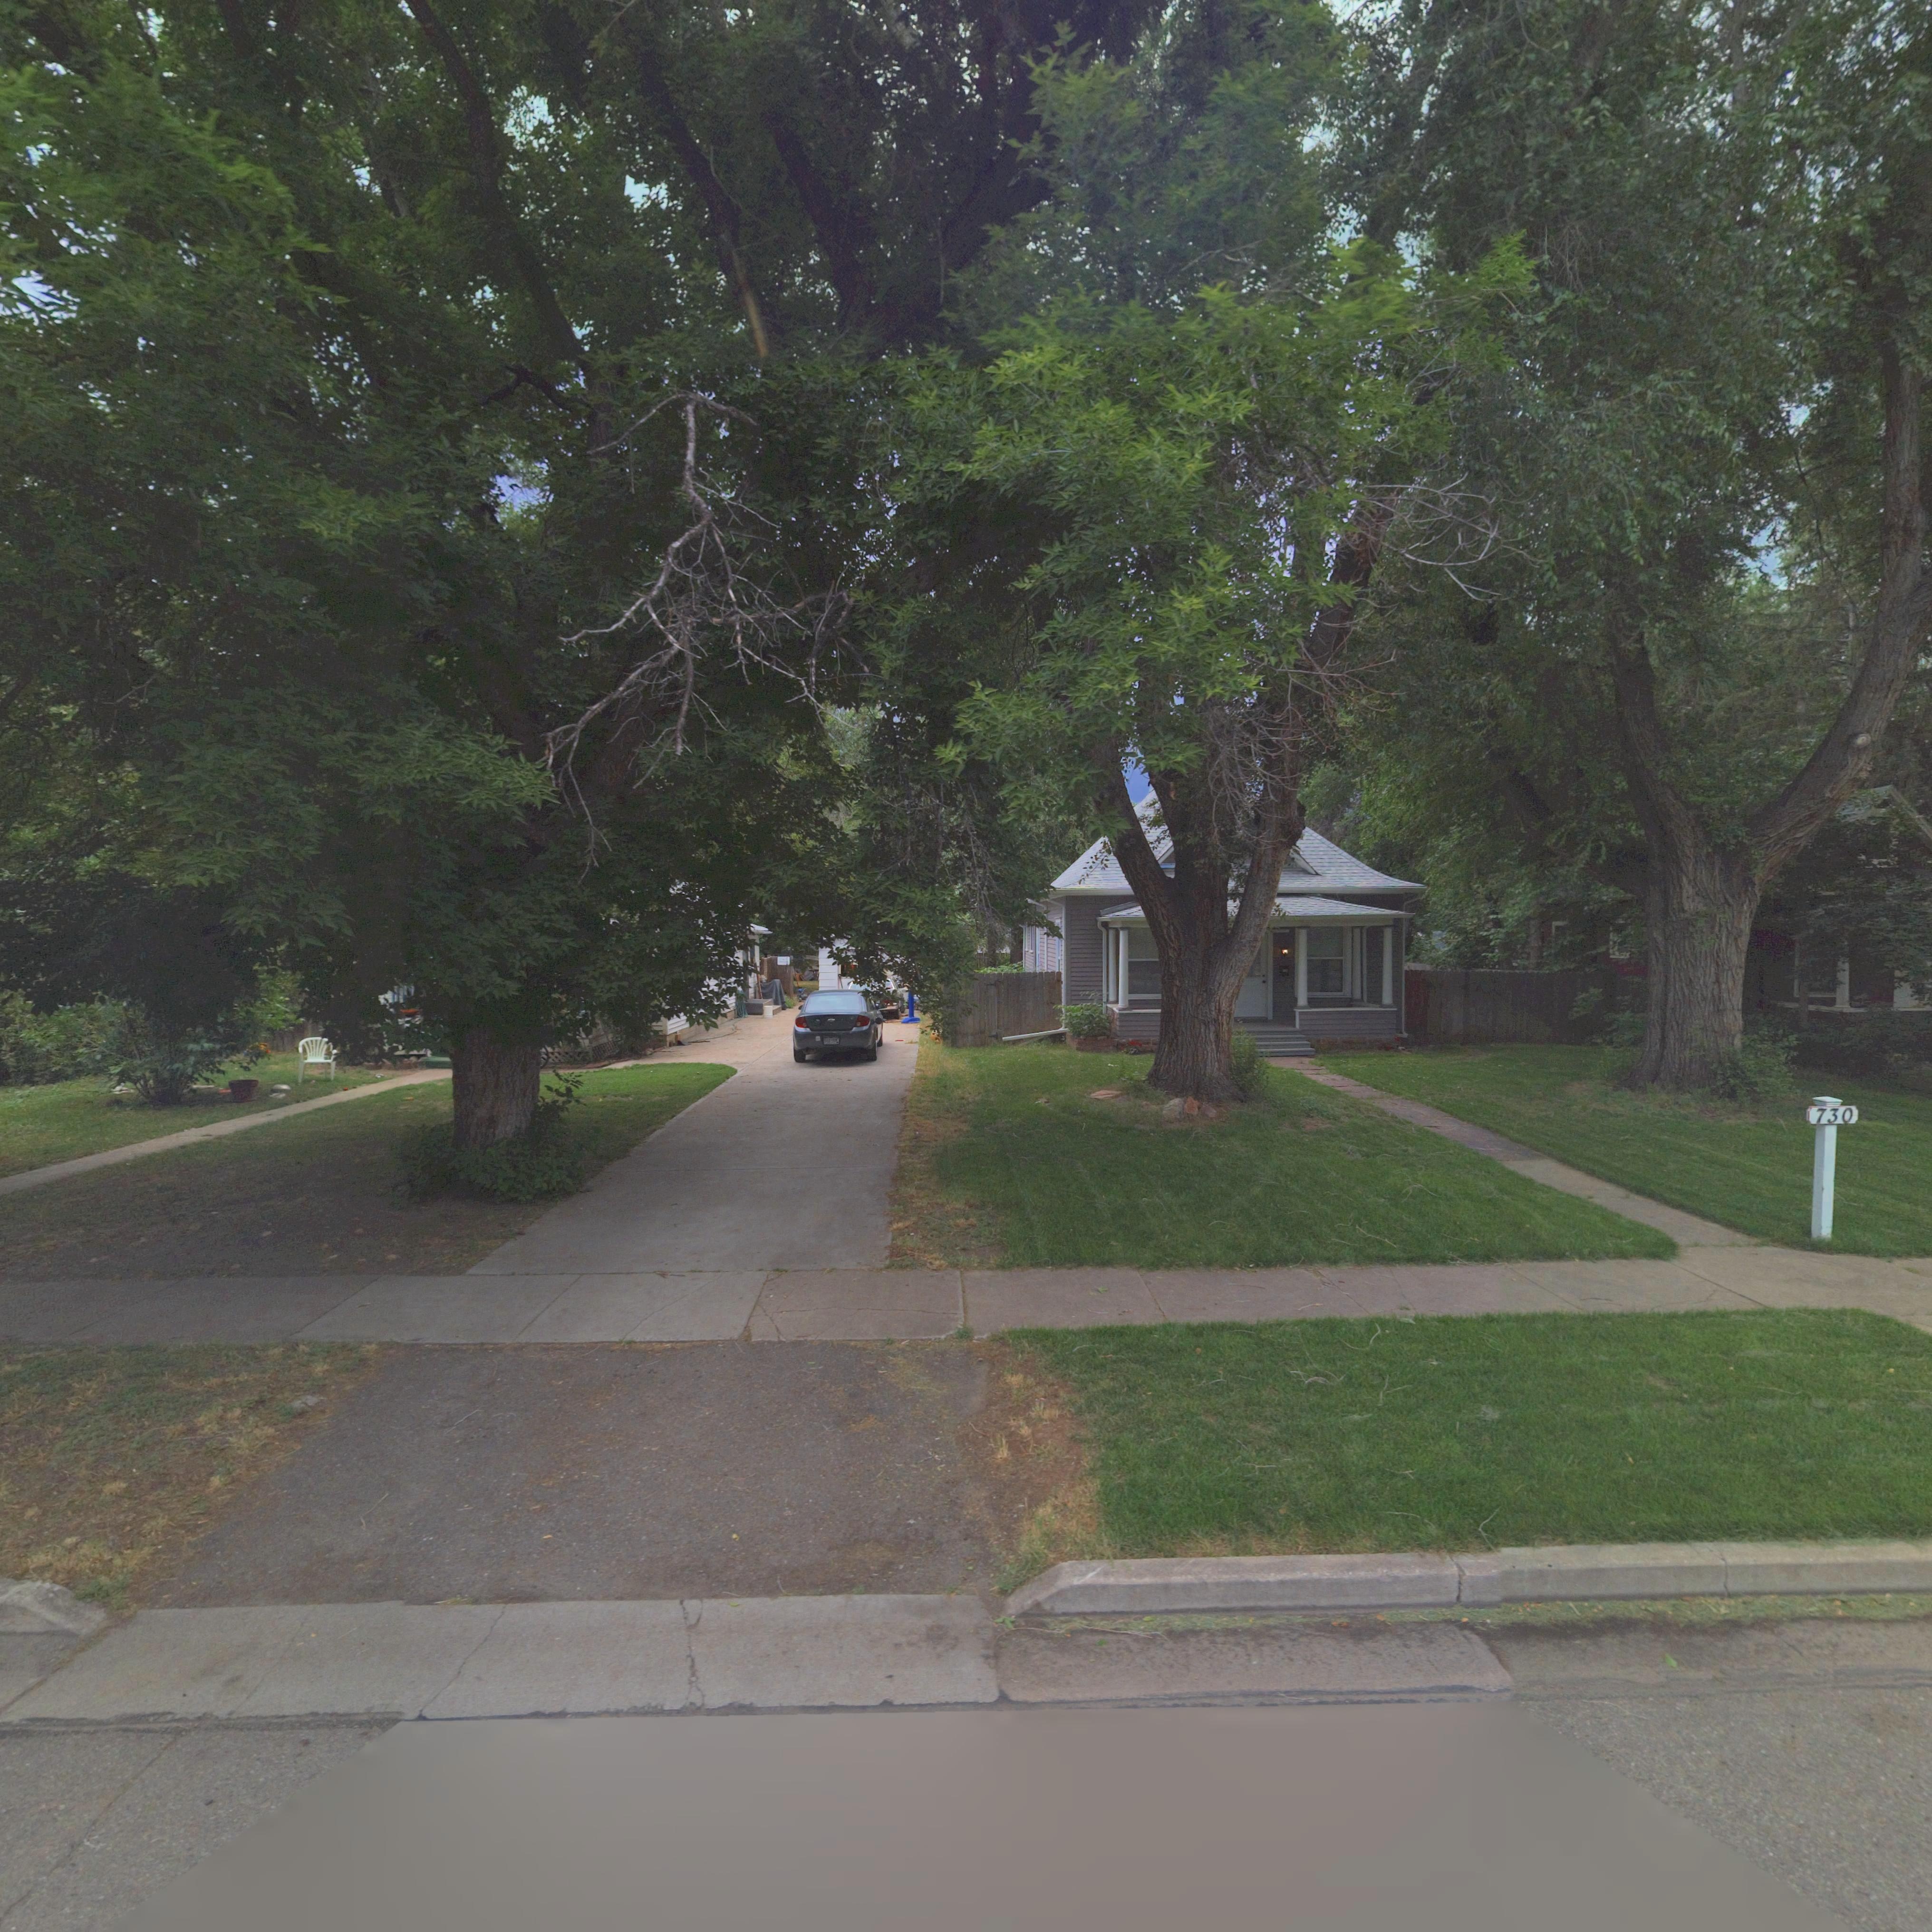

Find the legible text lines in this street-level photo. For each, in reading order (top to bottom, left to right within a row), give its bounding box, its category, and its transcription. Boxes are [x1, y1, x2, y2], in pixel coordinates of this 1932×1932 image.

[1816, 1107, 1853, 1123] StreetNumber: 730